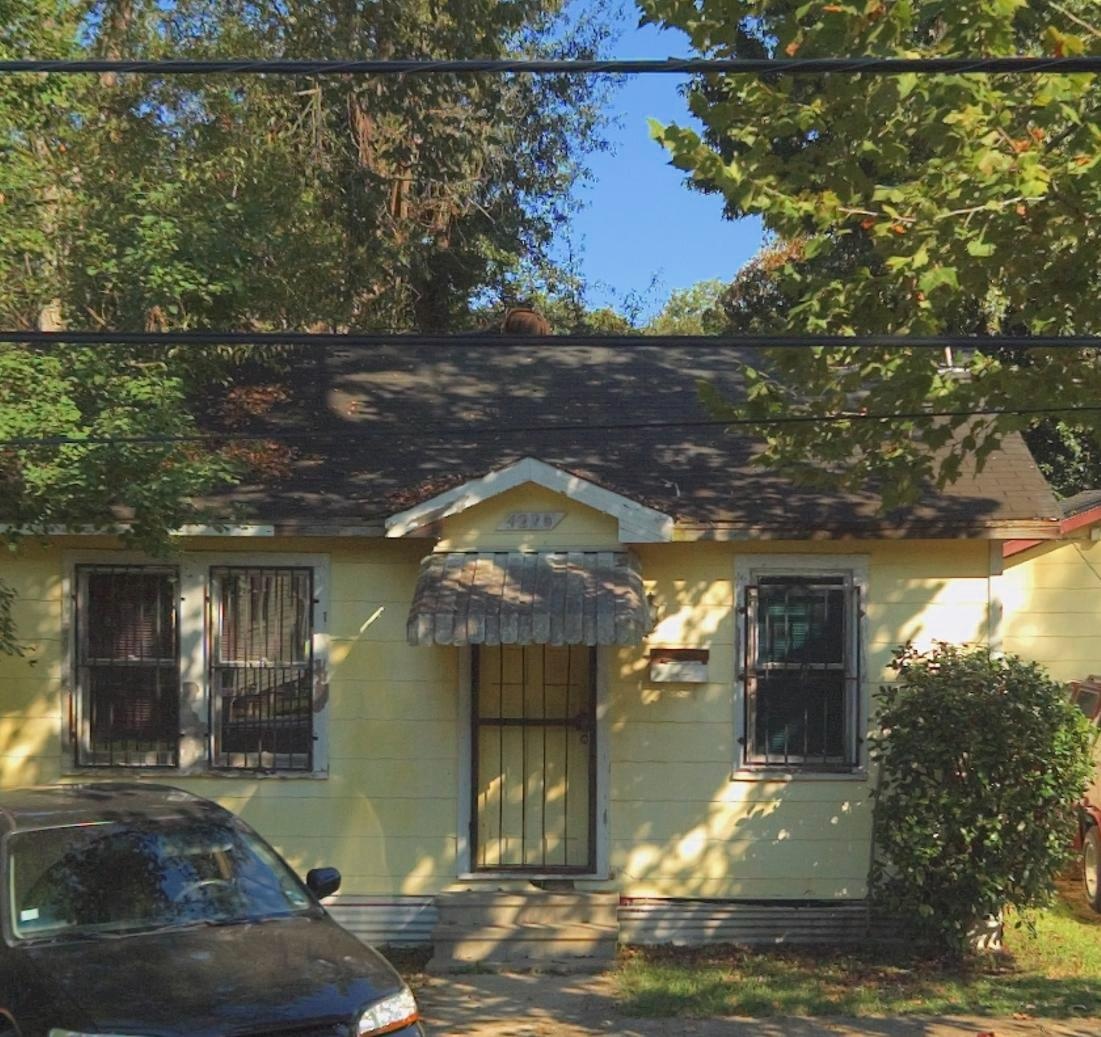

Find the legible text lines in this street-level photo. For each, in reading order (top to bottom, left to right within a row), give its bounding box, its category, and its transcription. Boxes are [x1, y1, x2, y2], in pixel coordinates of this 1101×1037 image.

[506, 513, 553, 529] StreetNumber: 42**